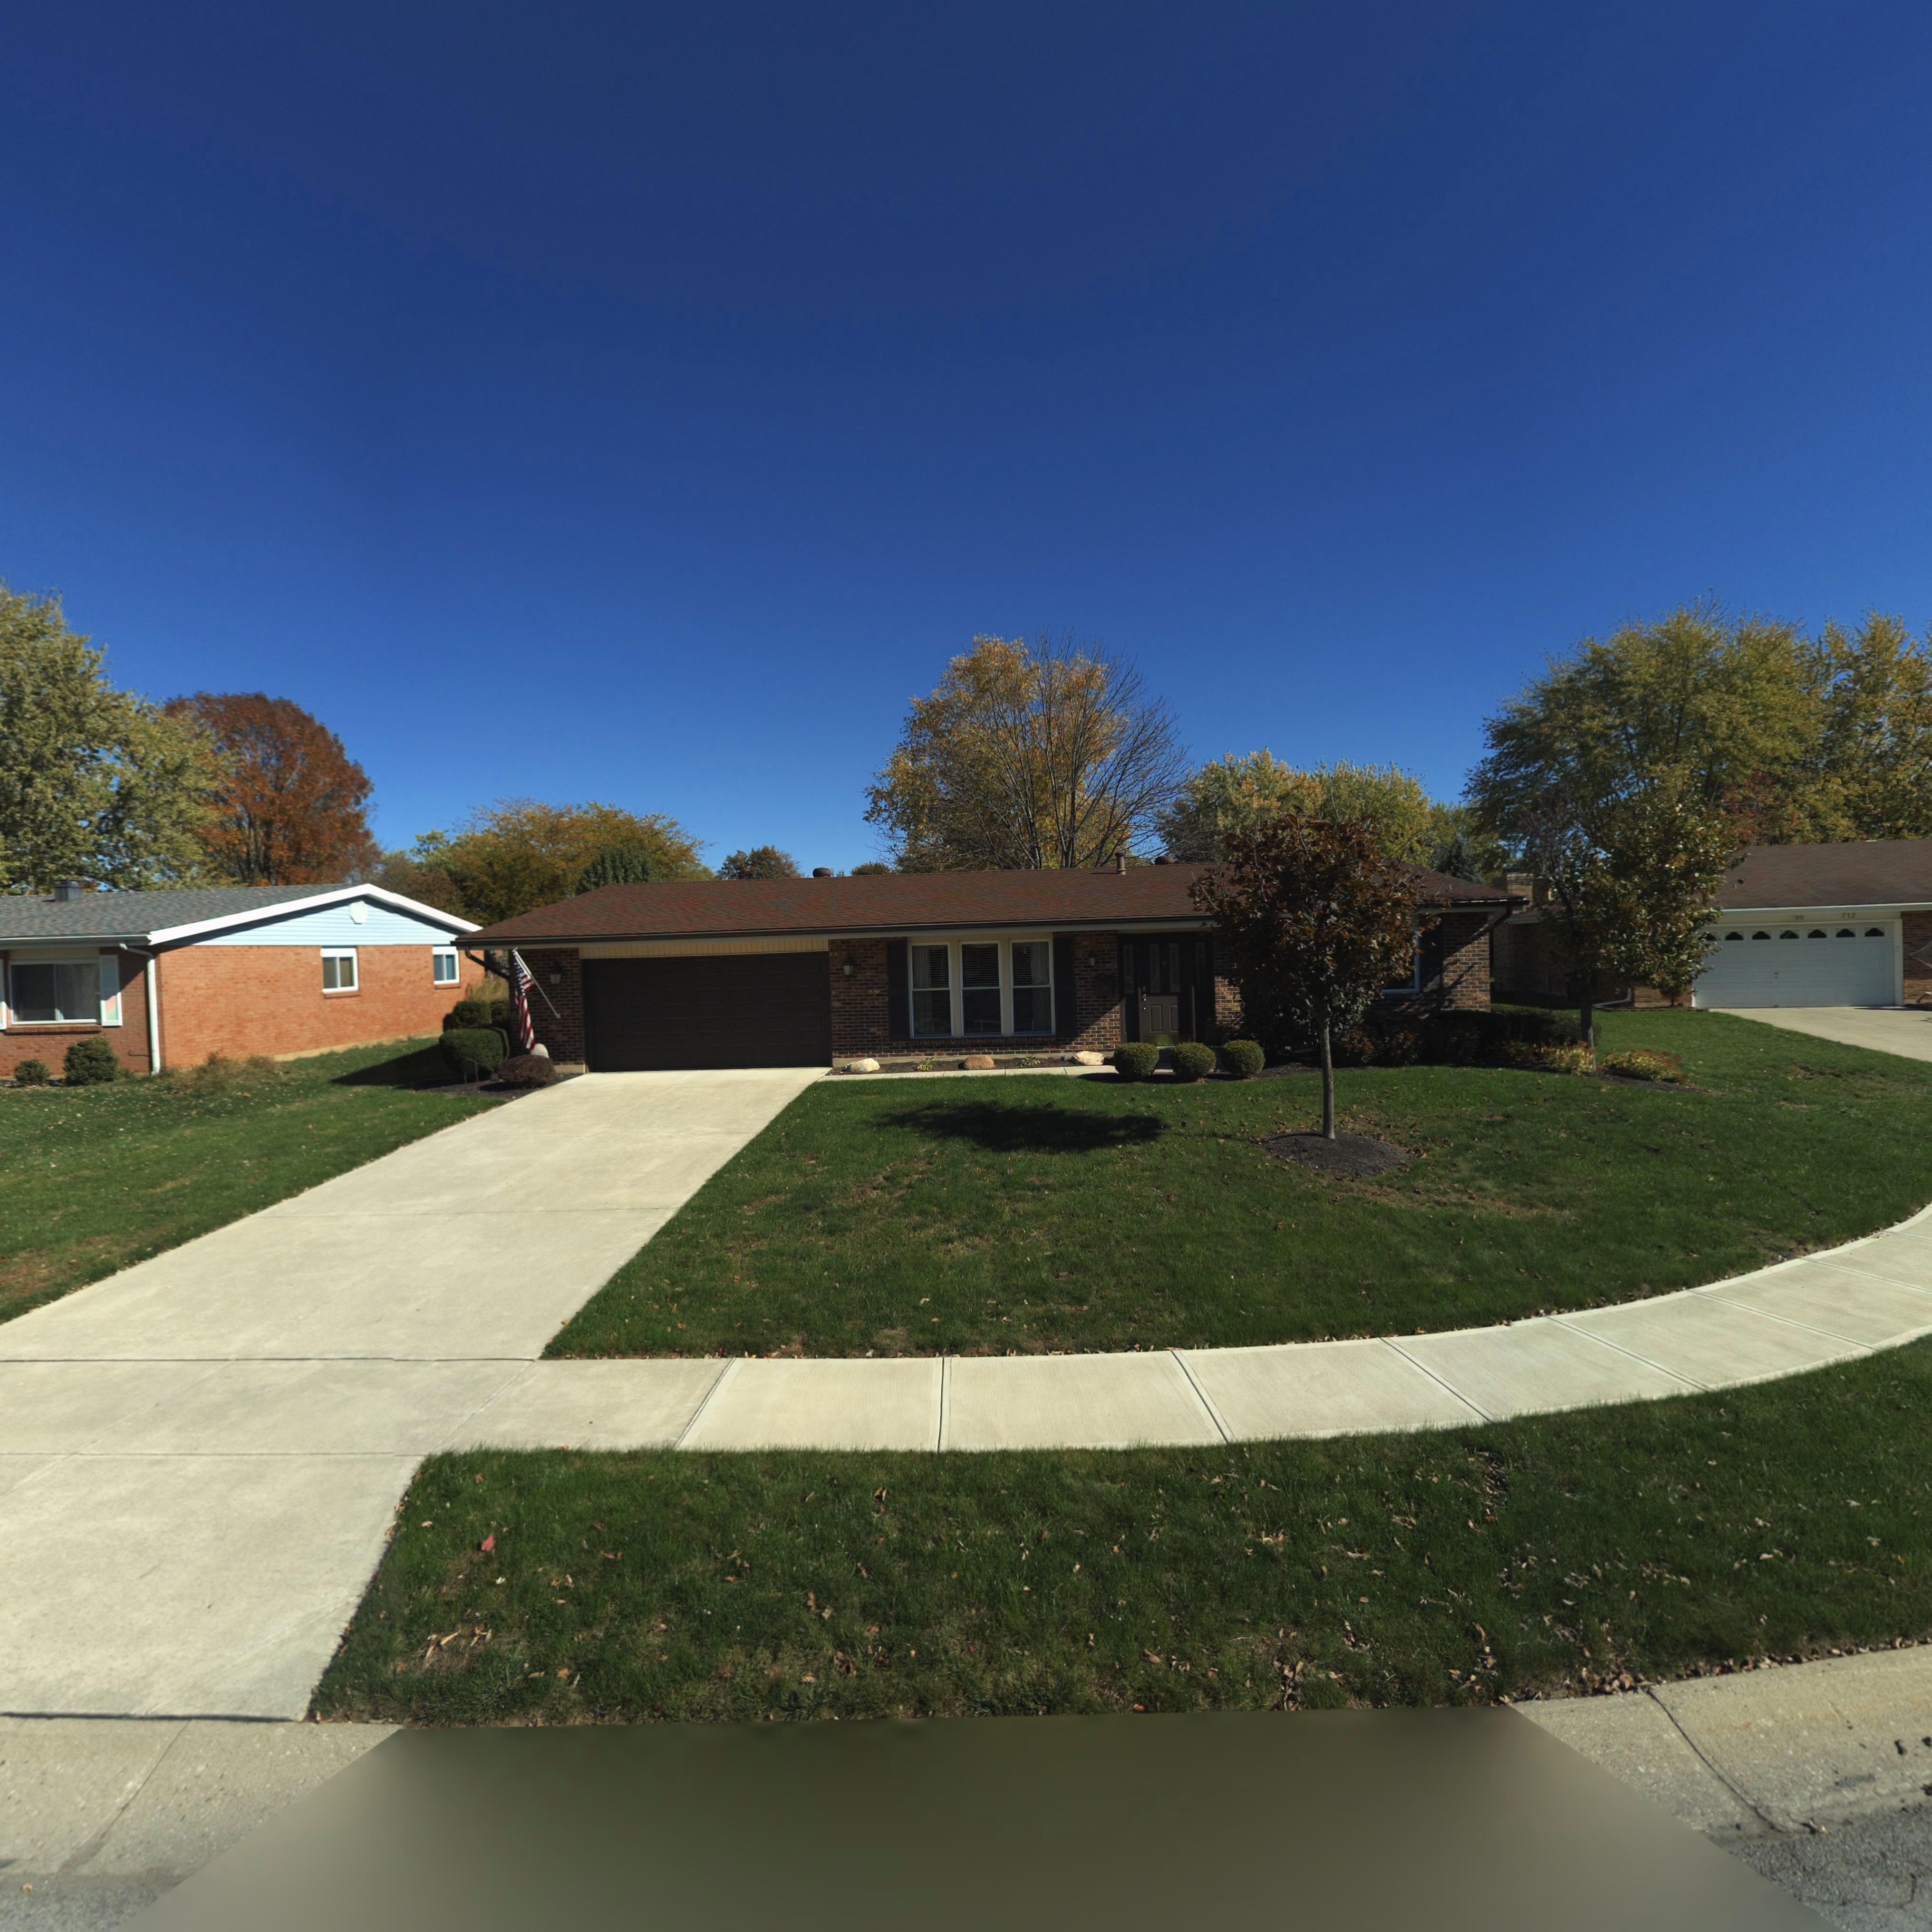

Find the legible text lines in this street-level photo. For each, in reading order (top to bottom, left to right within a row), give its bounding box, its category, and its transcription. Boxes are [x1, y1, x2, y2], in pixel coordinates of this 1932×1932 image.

[1841, 912, 1856, 919] StreetNumber: 712